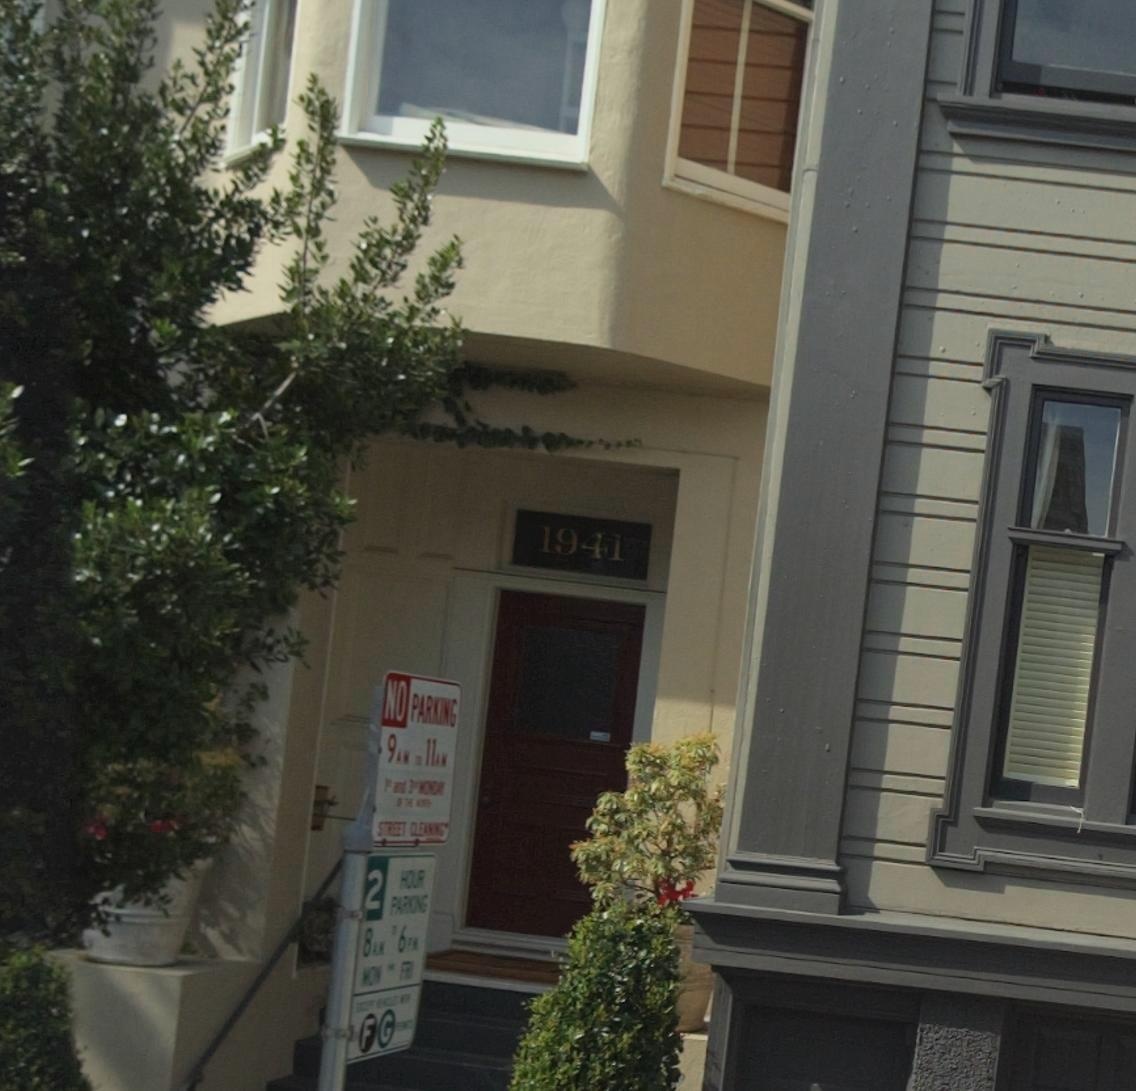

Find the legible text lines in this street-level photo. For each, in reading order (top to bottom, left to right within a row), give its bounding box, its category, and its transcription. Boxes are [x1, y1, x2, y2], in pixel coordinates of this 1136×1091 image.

[538, 523, 626, 565] StreetNumber: 1941
[381, 674, 460, 731] None: NO PARKING
[384, 729, 451, 771] None: 9 AM TO 11 AM
[406, 776, 416, 797] None: 3
[374, 818, 427, 840] None: STREET CLE
[363, 866, 385, 912] None: 2
[387, 890, 431, 919] None: PARK*NG
[397, 865, 428, 893] None: HOUR
[358, 922, 422, 961] None: 8 A* ** 6P*
[359, 957, 417, 991] None: *O* ** FRI
[358, 1016, 378, 1052] None: F
[378, 1011, 395, 1047] None: G